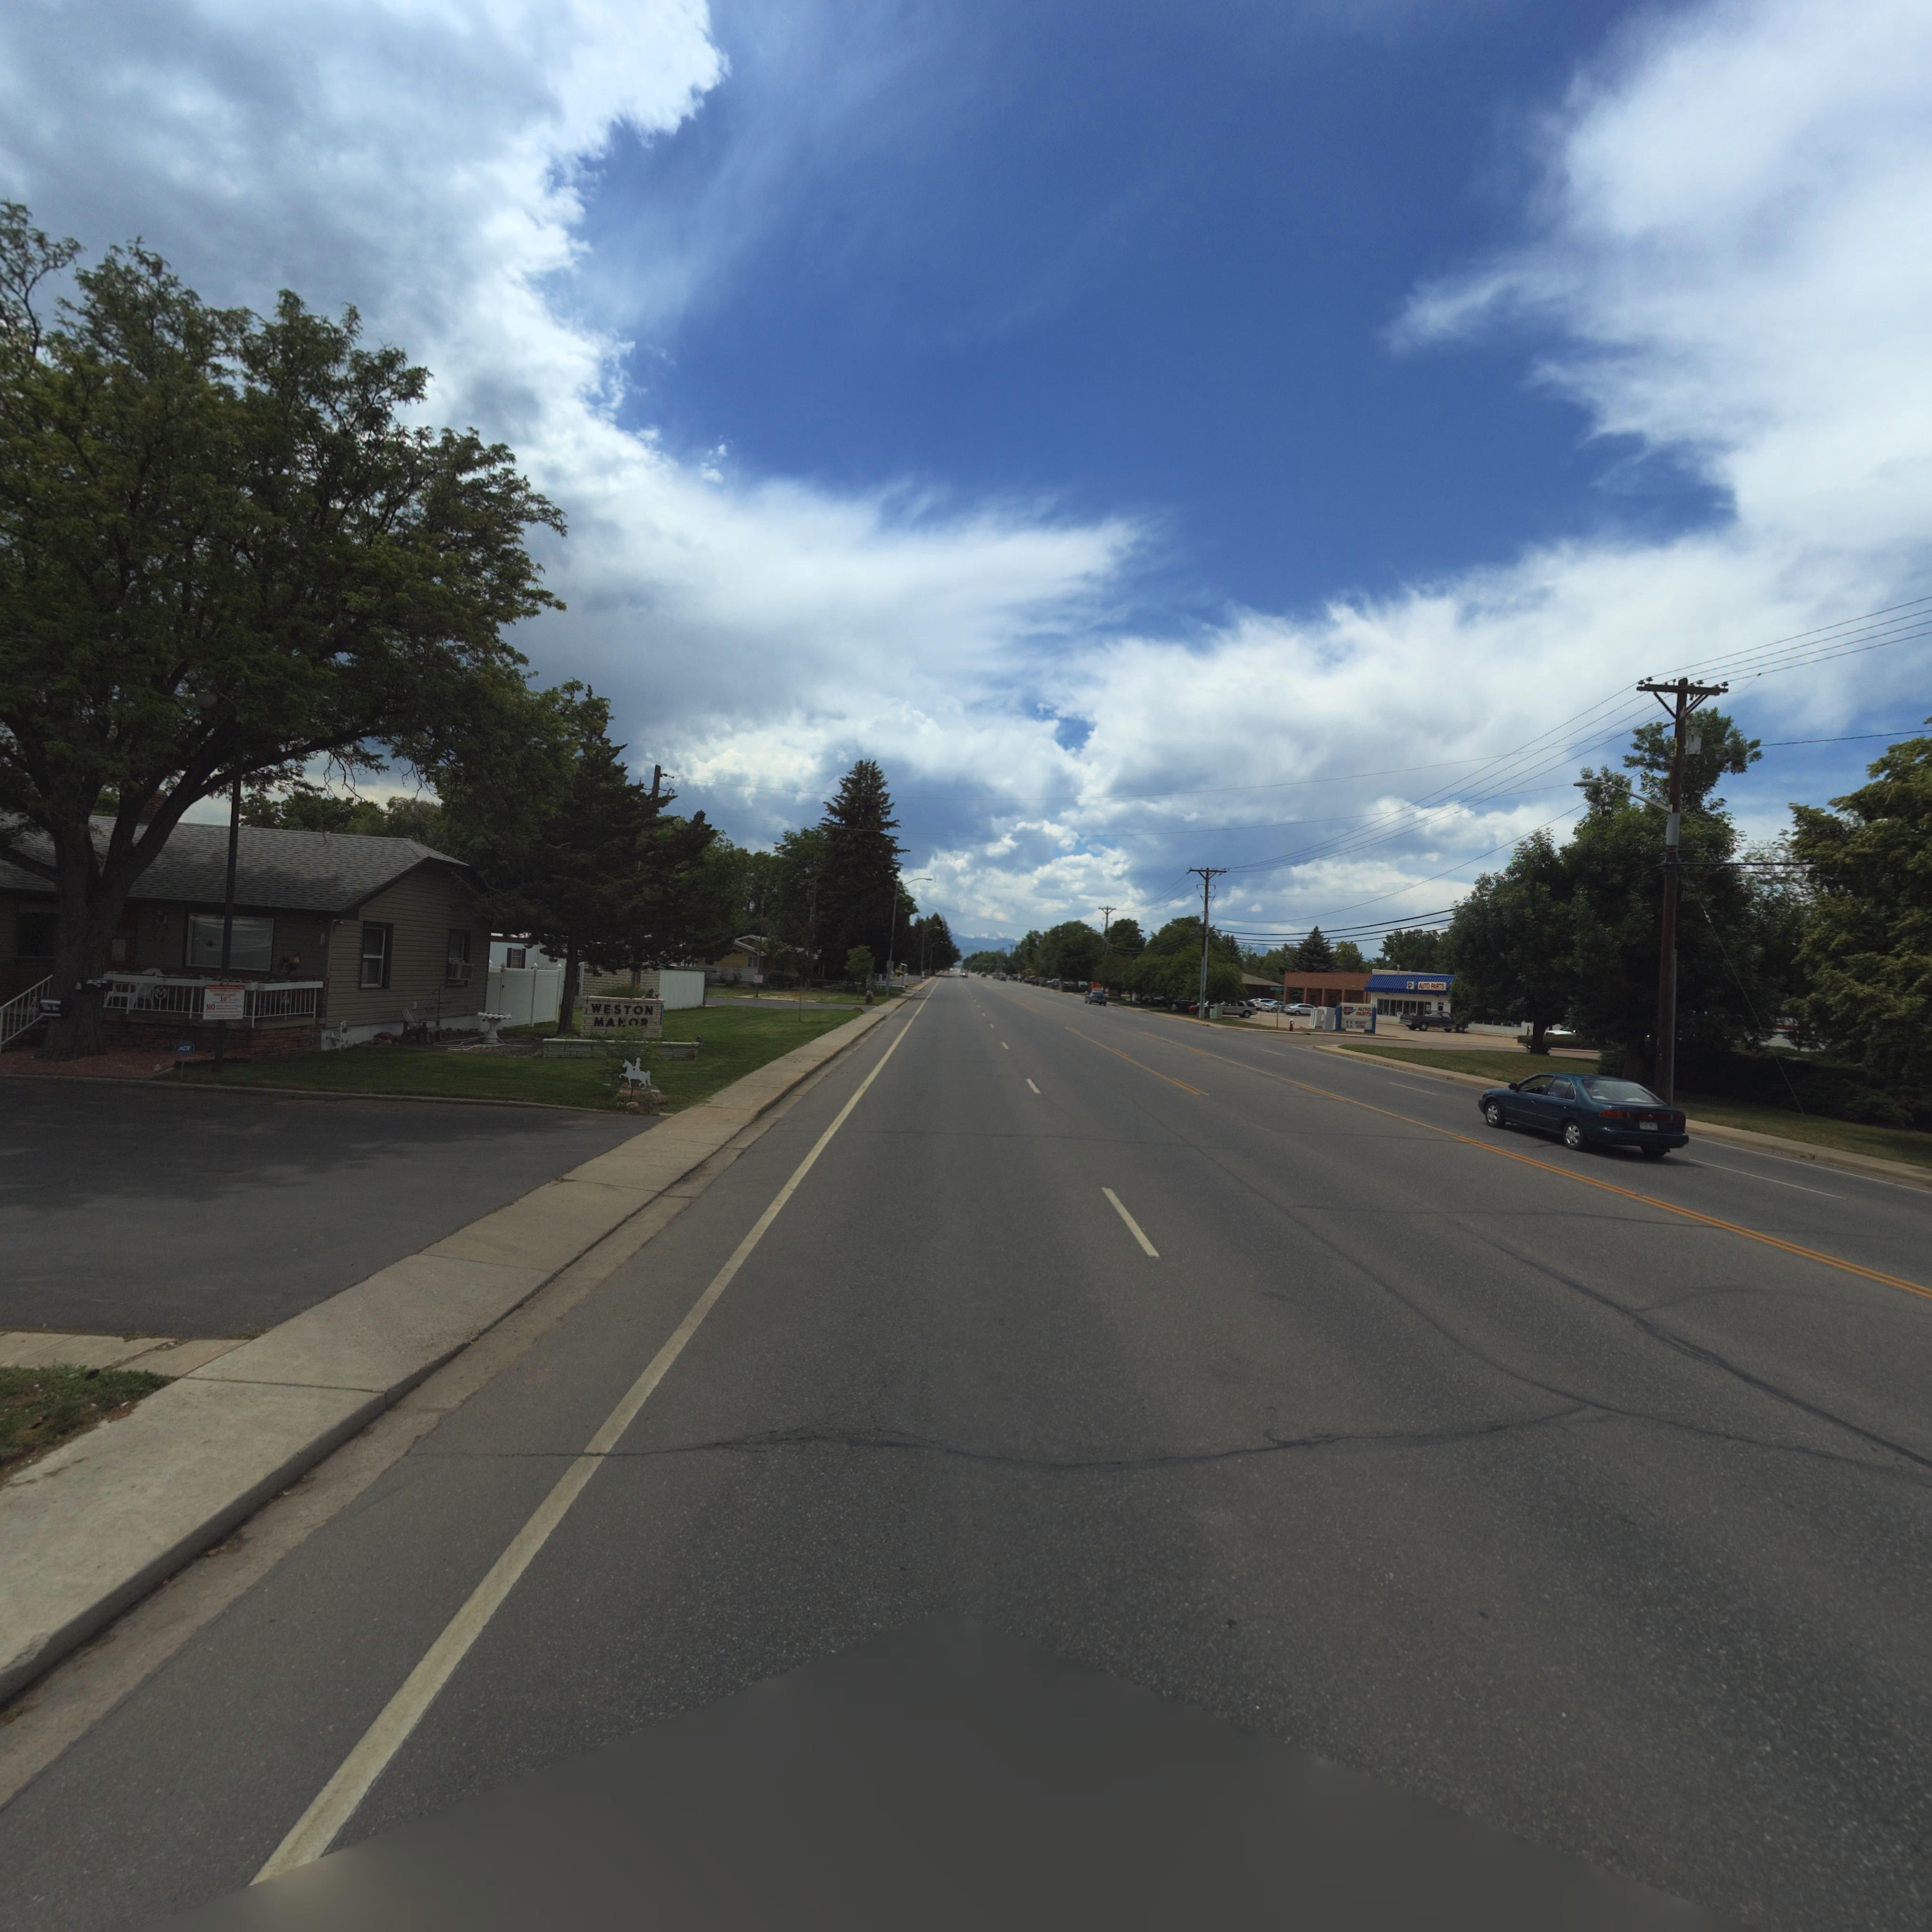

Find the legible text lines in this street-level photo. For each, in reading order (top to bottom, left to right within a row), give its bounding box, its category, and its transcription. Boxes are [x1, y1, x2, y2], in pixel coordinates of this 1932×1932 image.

[1270, 986, 1287, 991] None: **CK*** **
[1418, 983, 1445, 989] BusinessName: AUTO PARTS
[1357, 1007, 1371, 1012] BusinessName: AUTO
[1355, 1011, 1372, 1016] BusinessName: PARTS